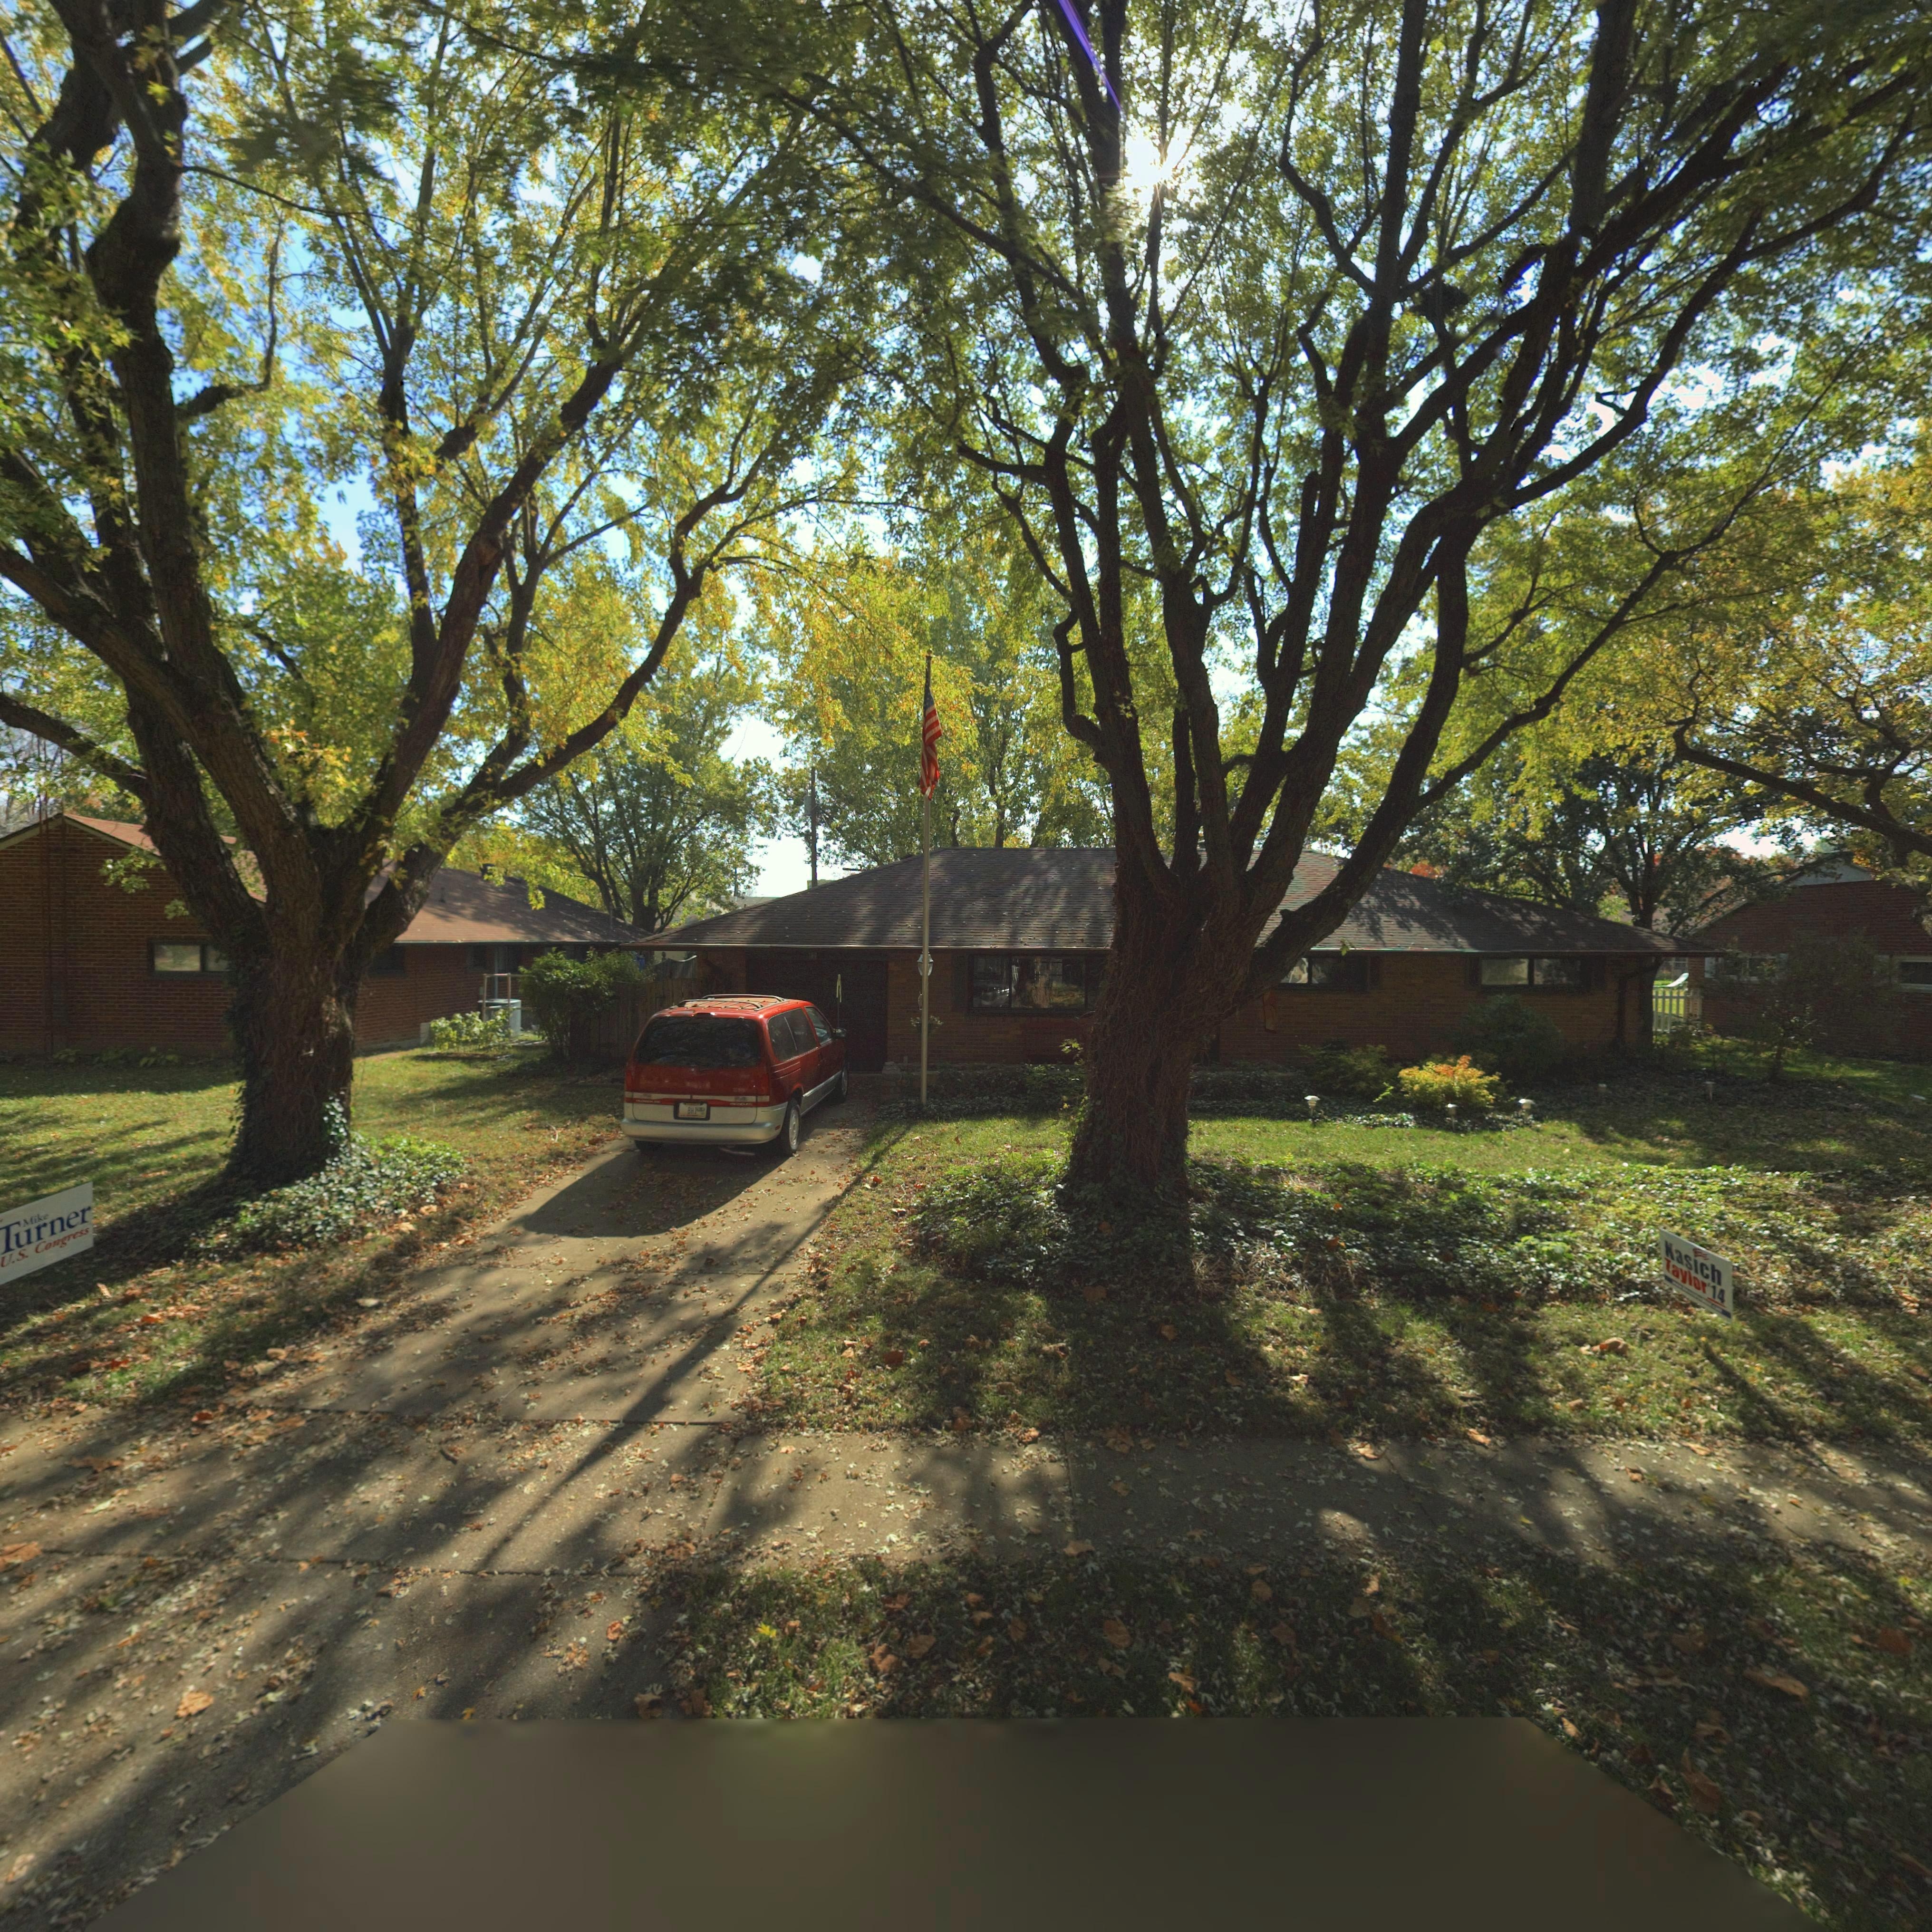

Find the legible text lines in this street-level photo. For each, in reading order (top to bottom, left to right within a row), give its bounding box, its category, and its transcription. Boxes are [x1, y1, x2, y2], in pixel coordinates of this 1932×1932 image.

[686, 1105, 697, 1116] None: BH*
[21, 1211, 50, 1228] None: Mike
[0, 1226, 91, 1269] None: U.S. Congress
[11, 1204, 94, 1250] None: urner
[1663, 1236, 1724, 1288] None: Kasich
[1662, 1254, 1728, 1307] None: Taylor'14